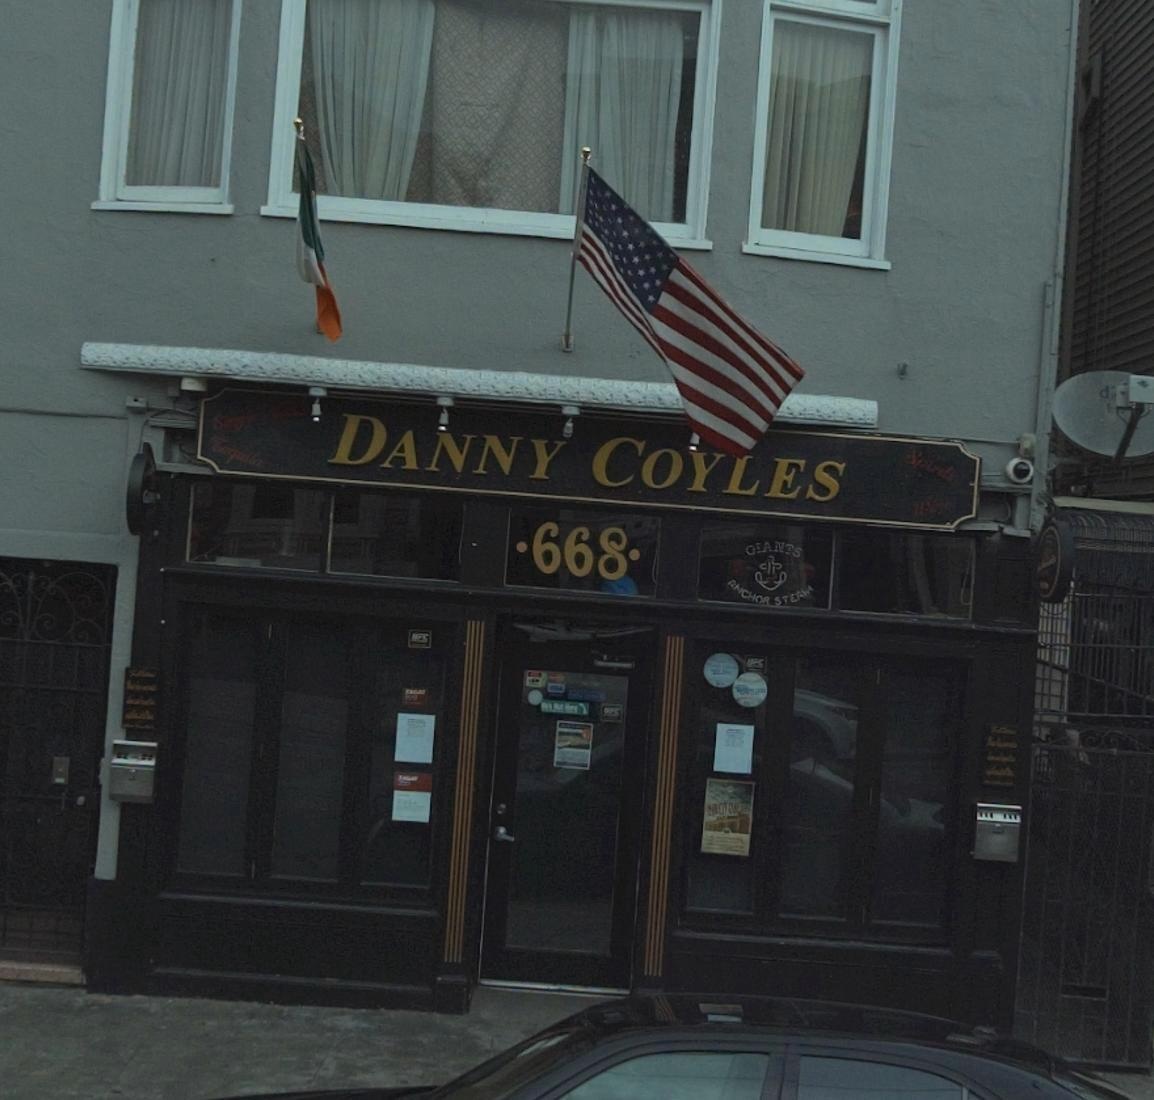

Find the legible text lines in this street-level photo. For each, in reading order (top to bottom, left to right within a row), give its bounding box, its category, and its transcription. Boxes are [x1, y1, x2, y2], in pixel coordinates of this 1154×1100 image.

[320, 406, 852, 507] BusinessName: DANNY COYLES
[527, 518, 633, 585] StreetNumber: 668
[743, 537, 807, 561] None: GIANTS
[723, 576, 818, 608] None: ANCHOR STEAM